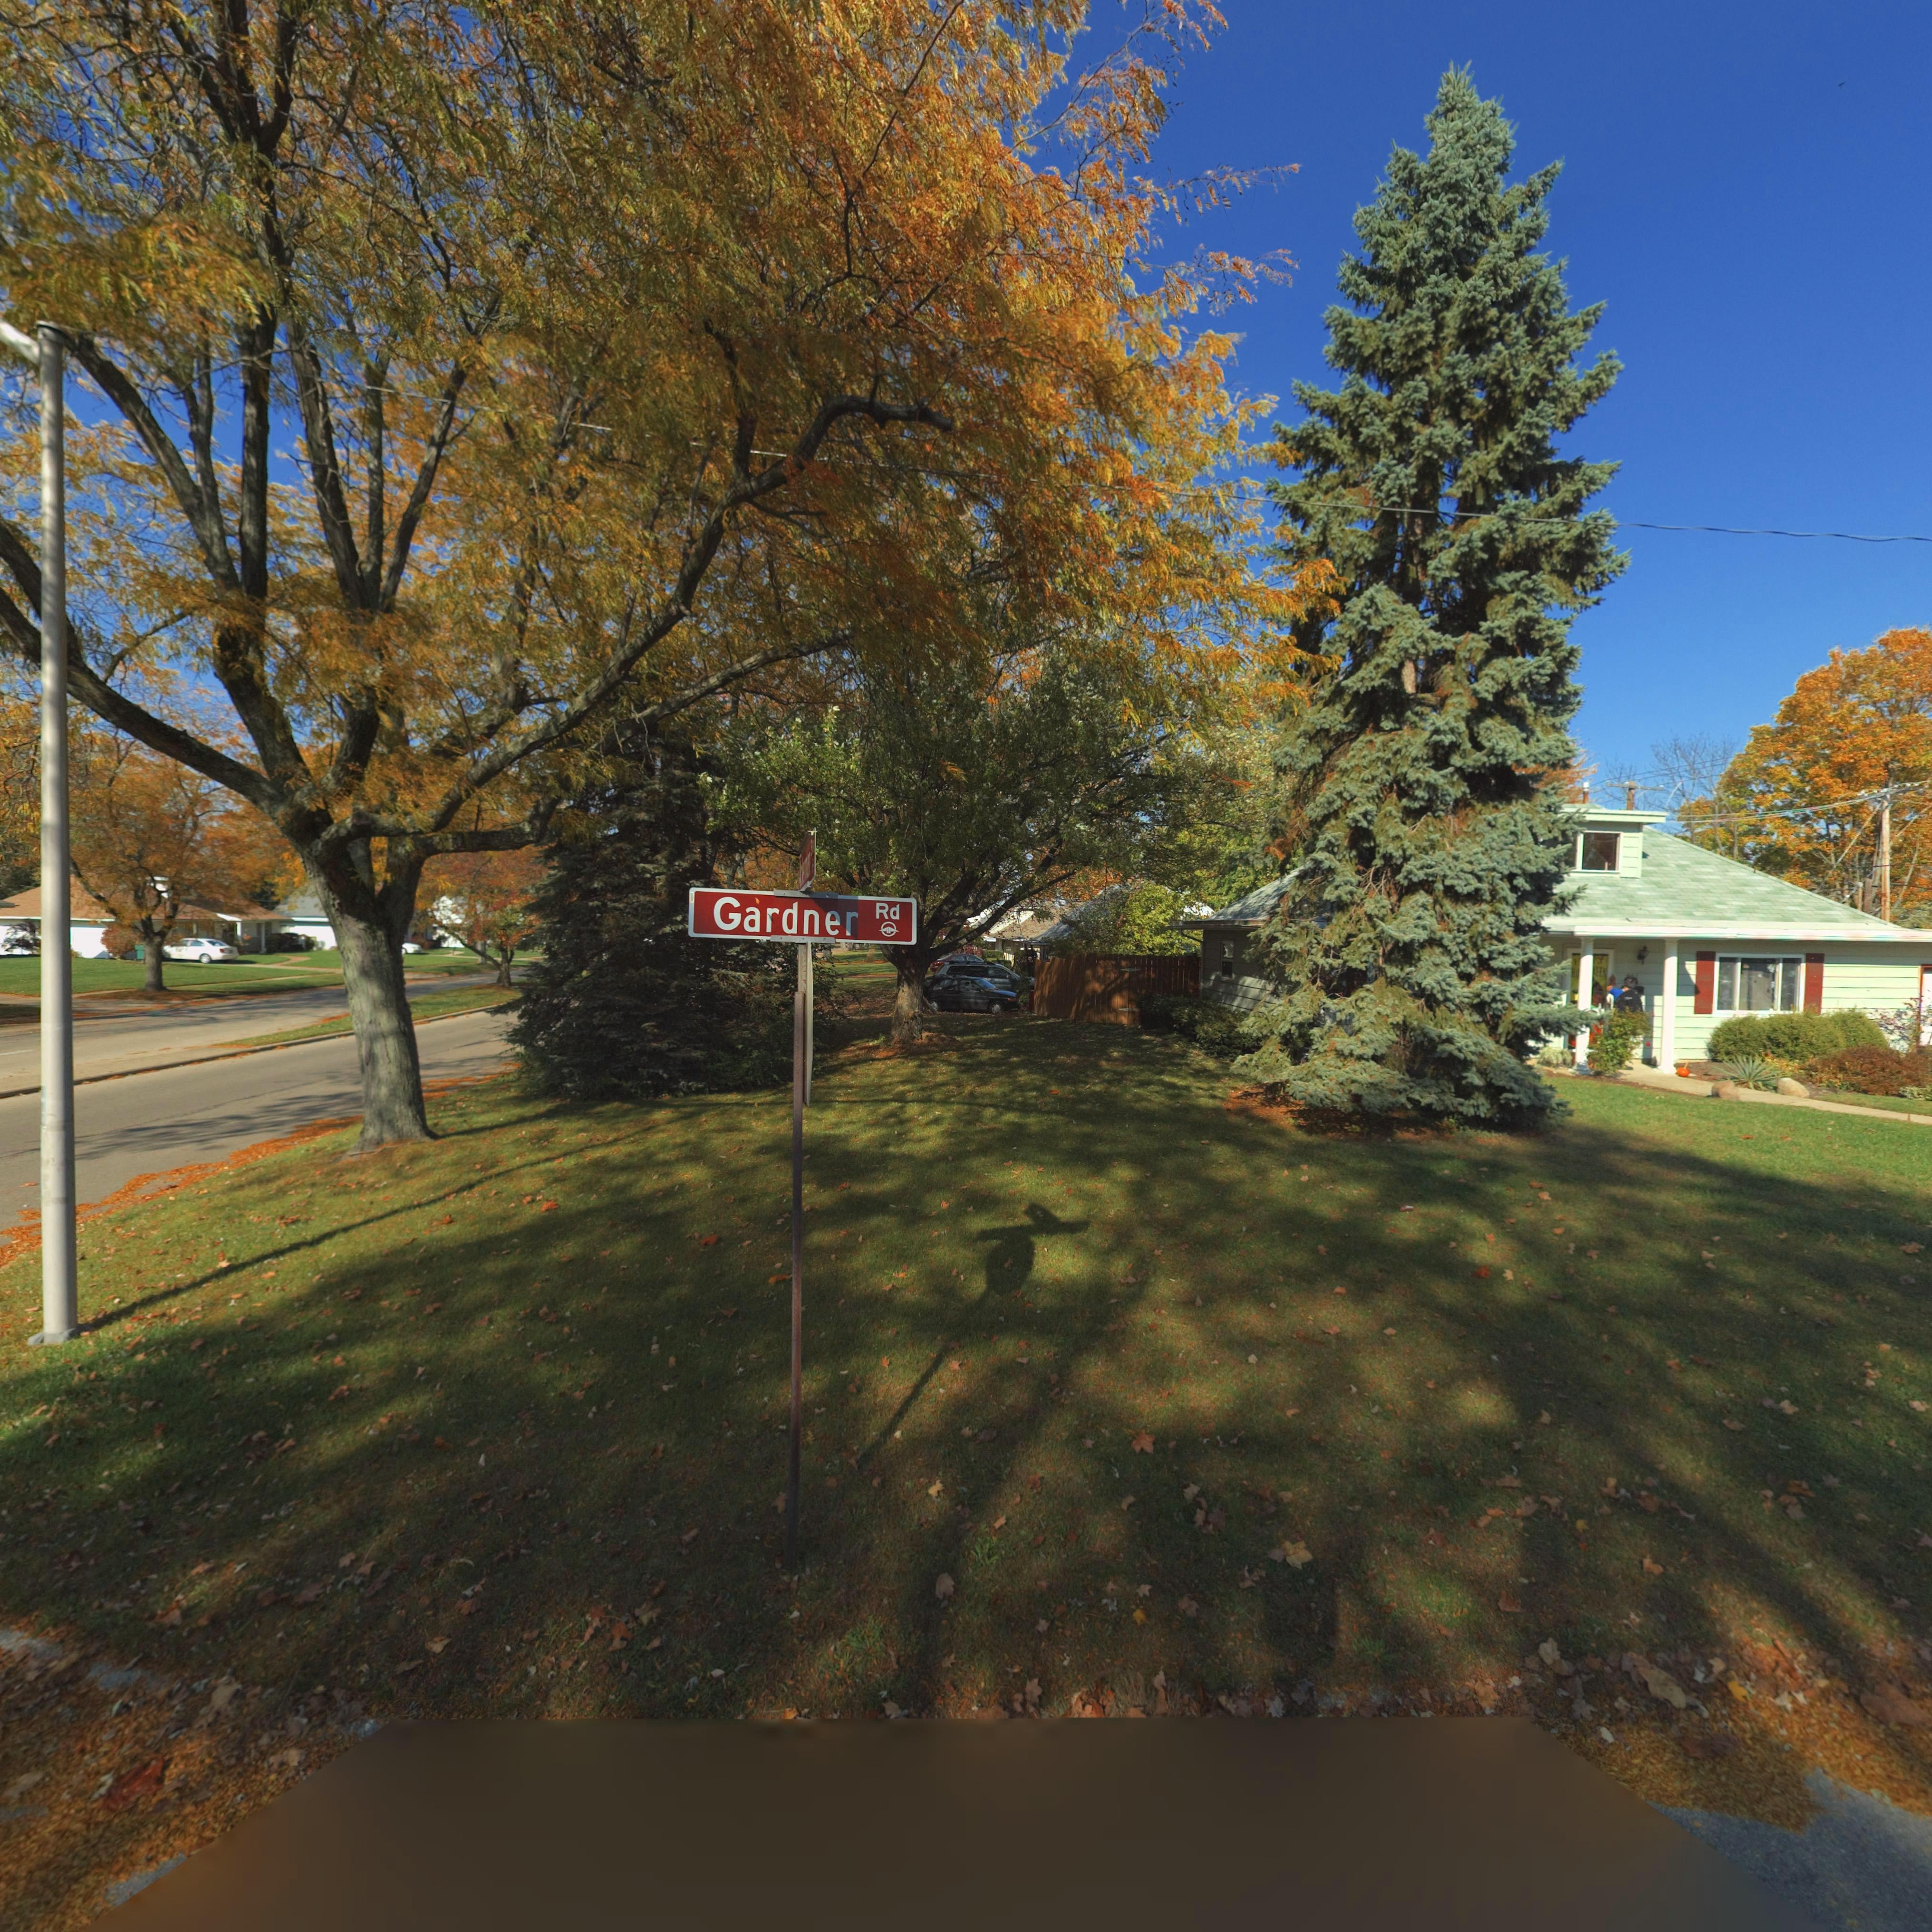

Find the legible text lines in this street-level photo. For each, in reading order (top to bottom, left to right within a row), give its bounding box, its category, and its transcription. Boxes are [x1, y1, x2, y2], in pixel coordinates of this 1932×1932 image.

[711, 894, 901, 938] StreetName: Gardner Rd